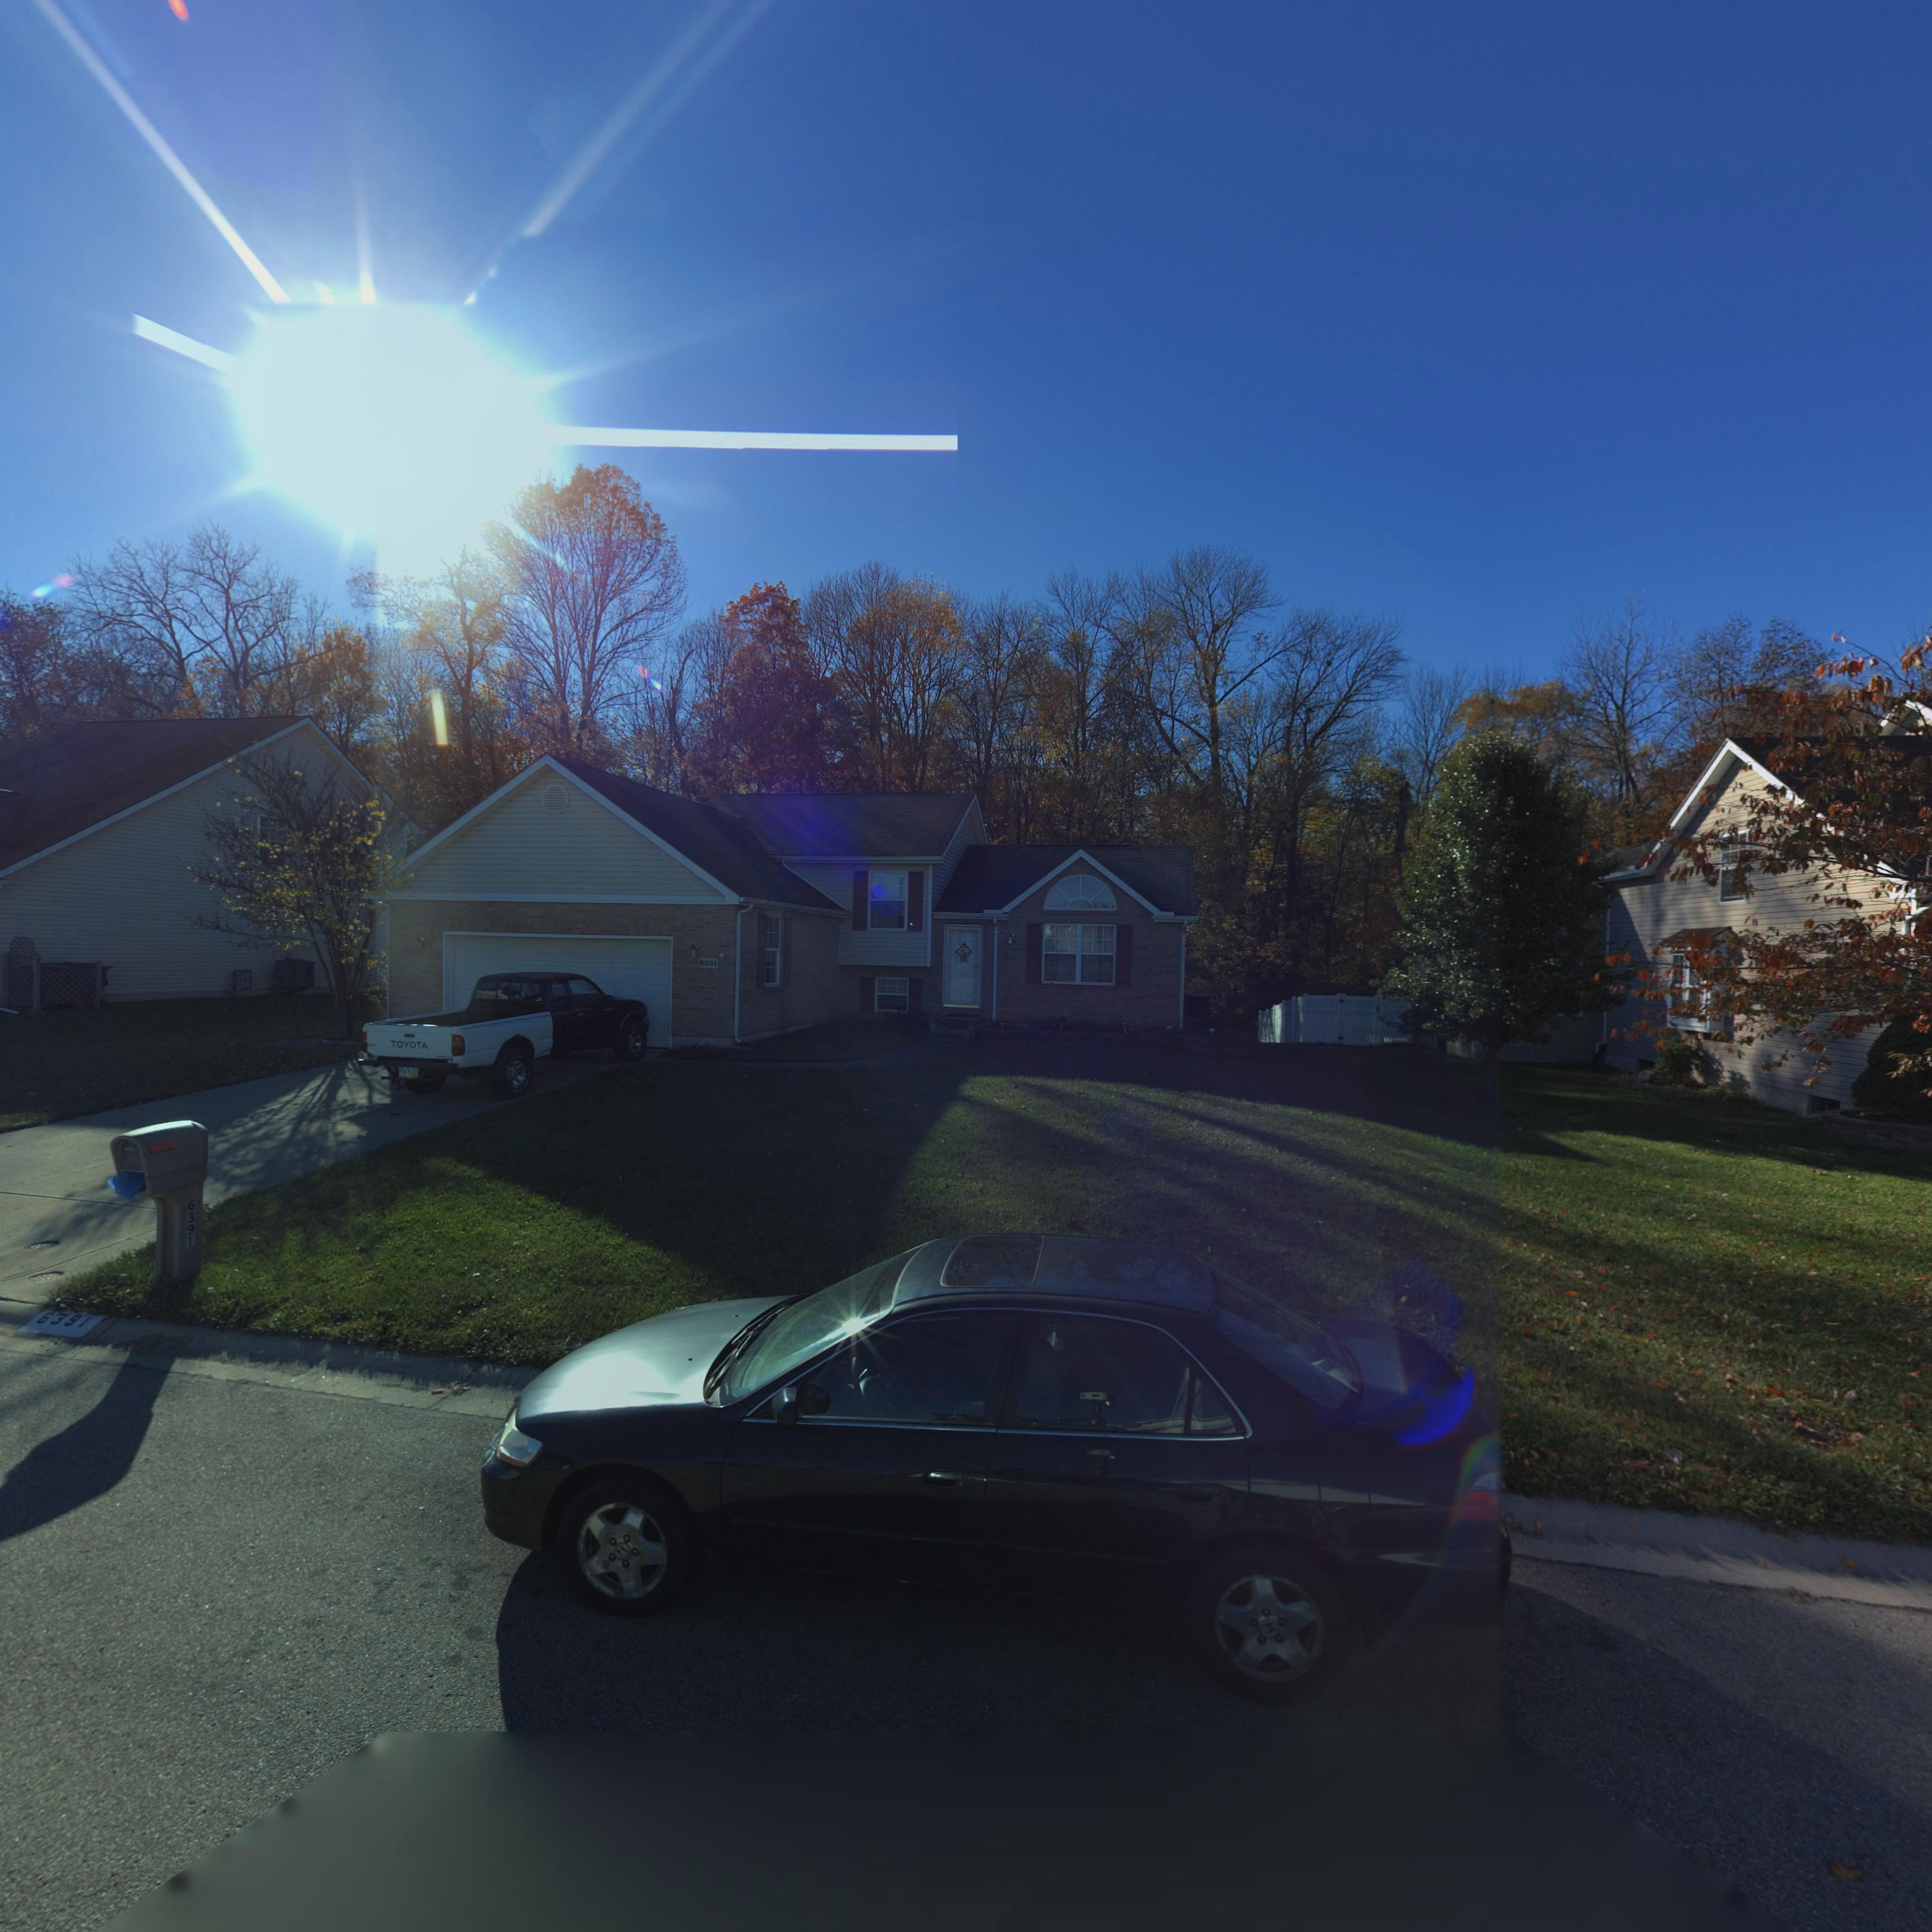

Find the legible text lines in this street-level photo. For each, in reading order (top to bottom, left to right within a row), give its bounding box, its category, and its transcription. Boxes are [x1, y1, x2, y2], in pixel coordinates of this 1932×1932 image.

[699, 959, 717, 967] StreetNumber: 6391
[387, 1037, 430, 1053] None: TOYOTA
[186, 1198, 196, 1248] StreetNumber: 6391
[34, 1310, 94, 1330] StreetNumber: 6391